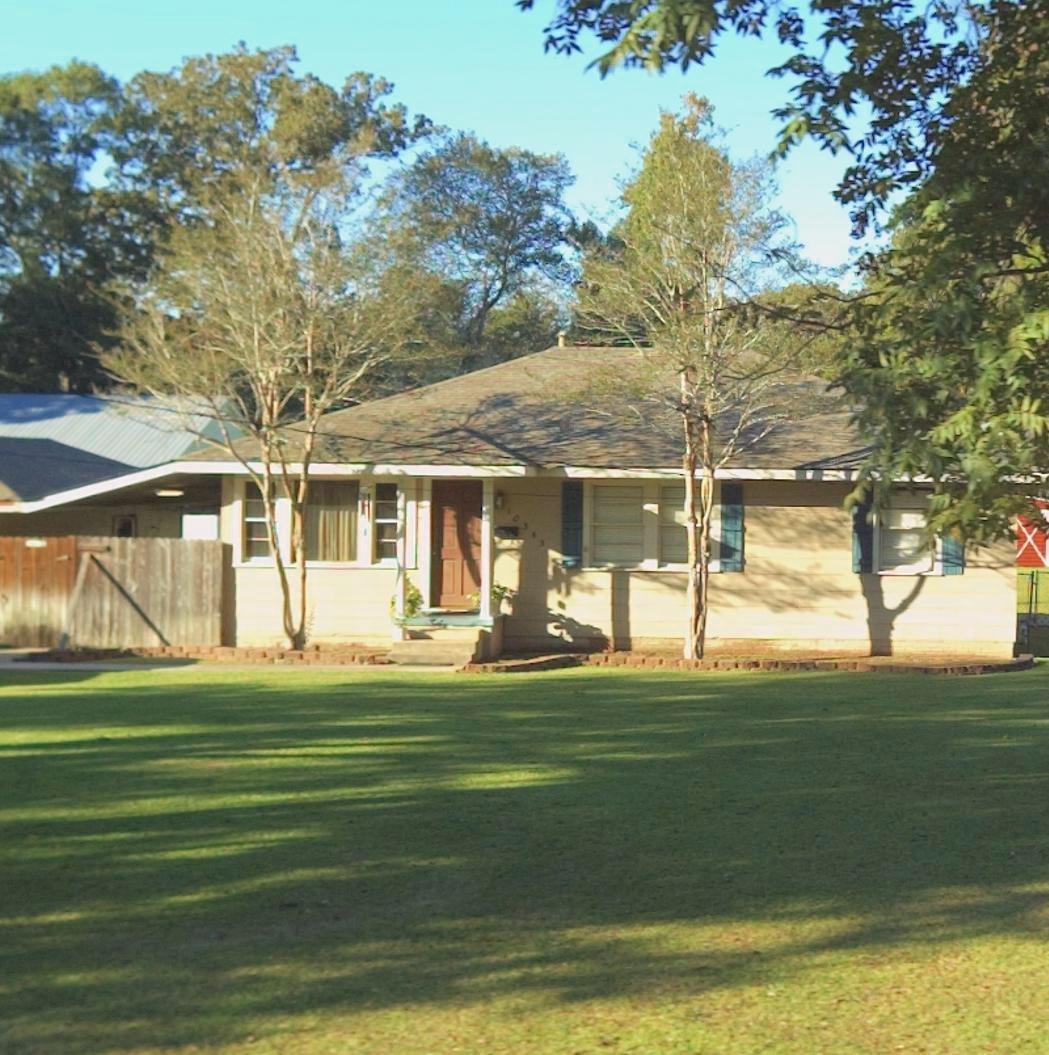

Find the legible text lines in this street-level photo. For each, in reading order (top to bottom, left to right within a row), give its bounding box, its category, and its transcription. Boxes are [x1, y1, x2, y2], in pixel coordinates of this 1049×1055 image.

[505, 506, 547, 549] StreetNumber: 10343